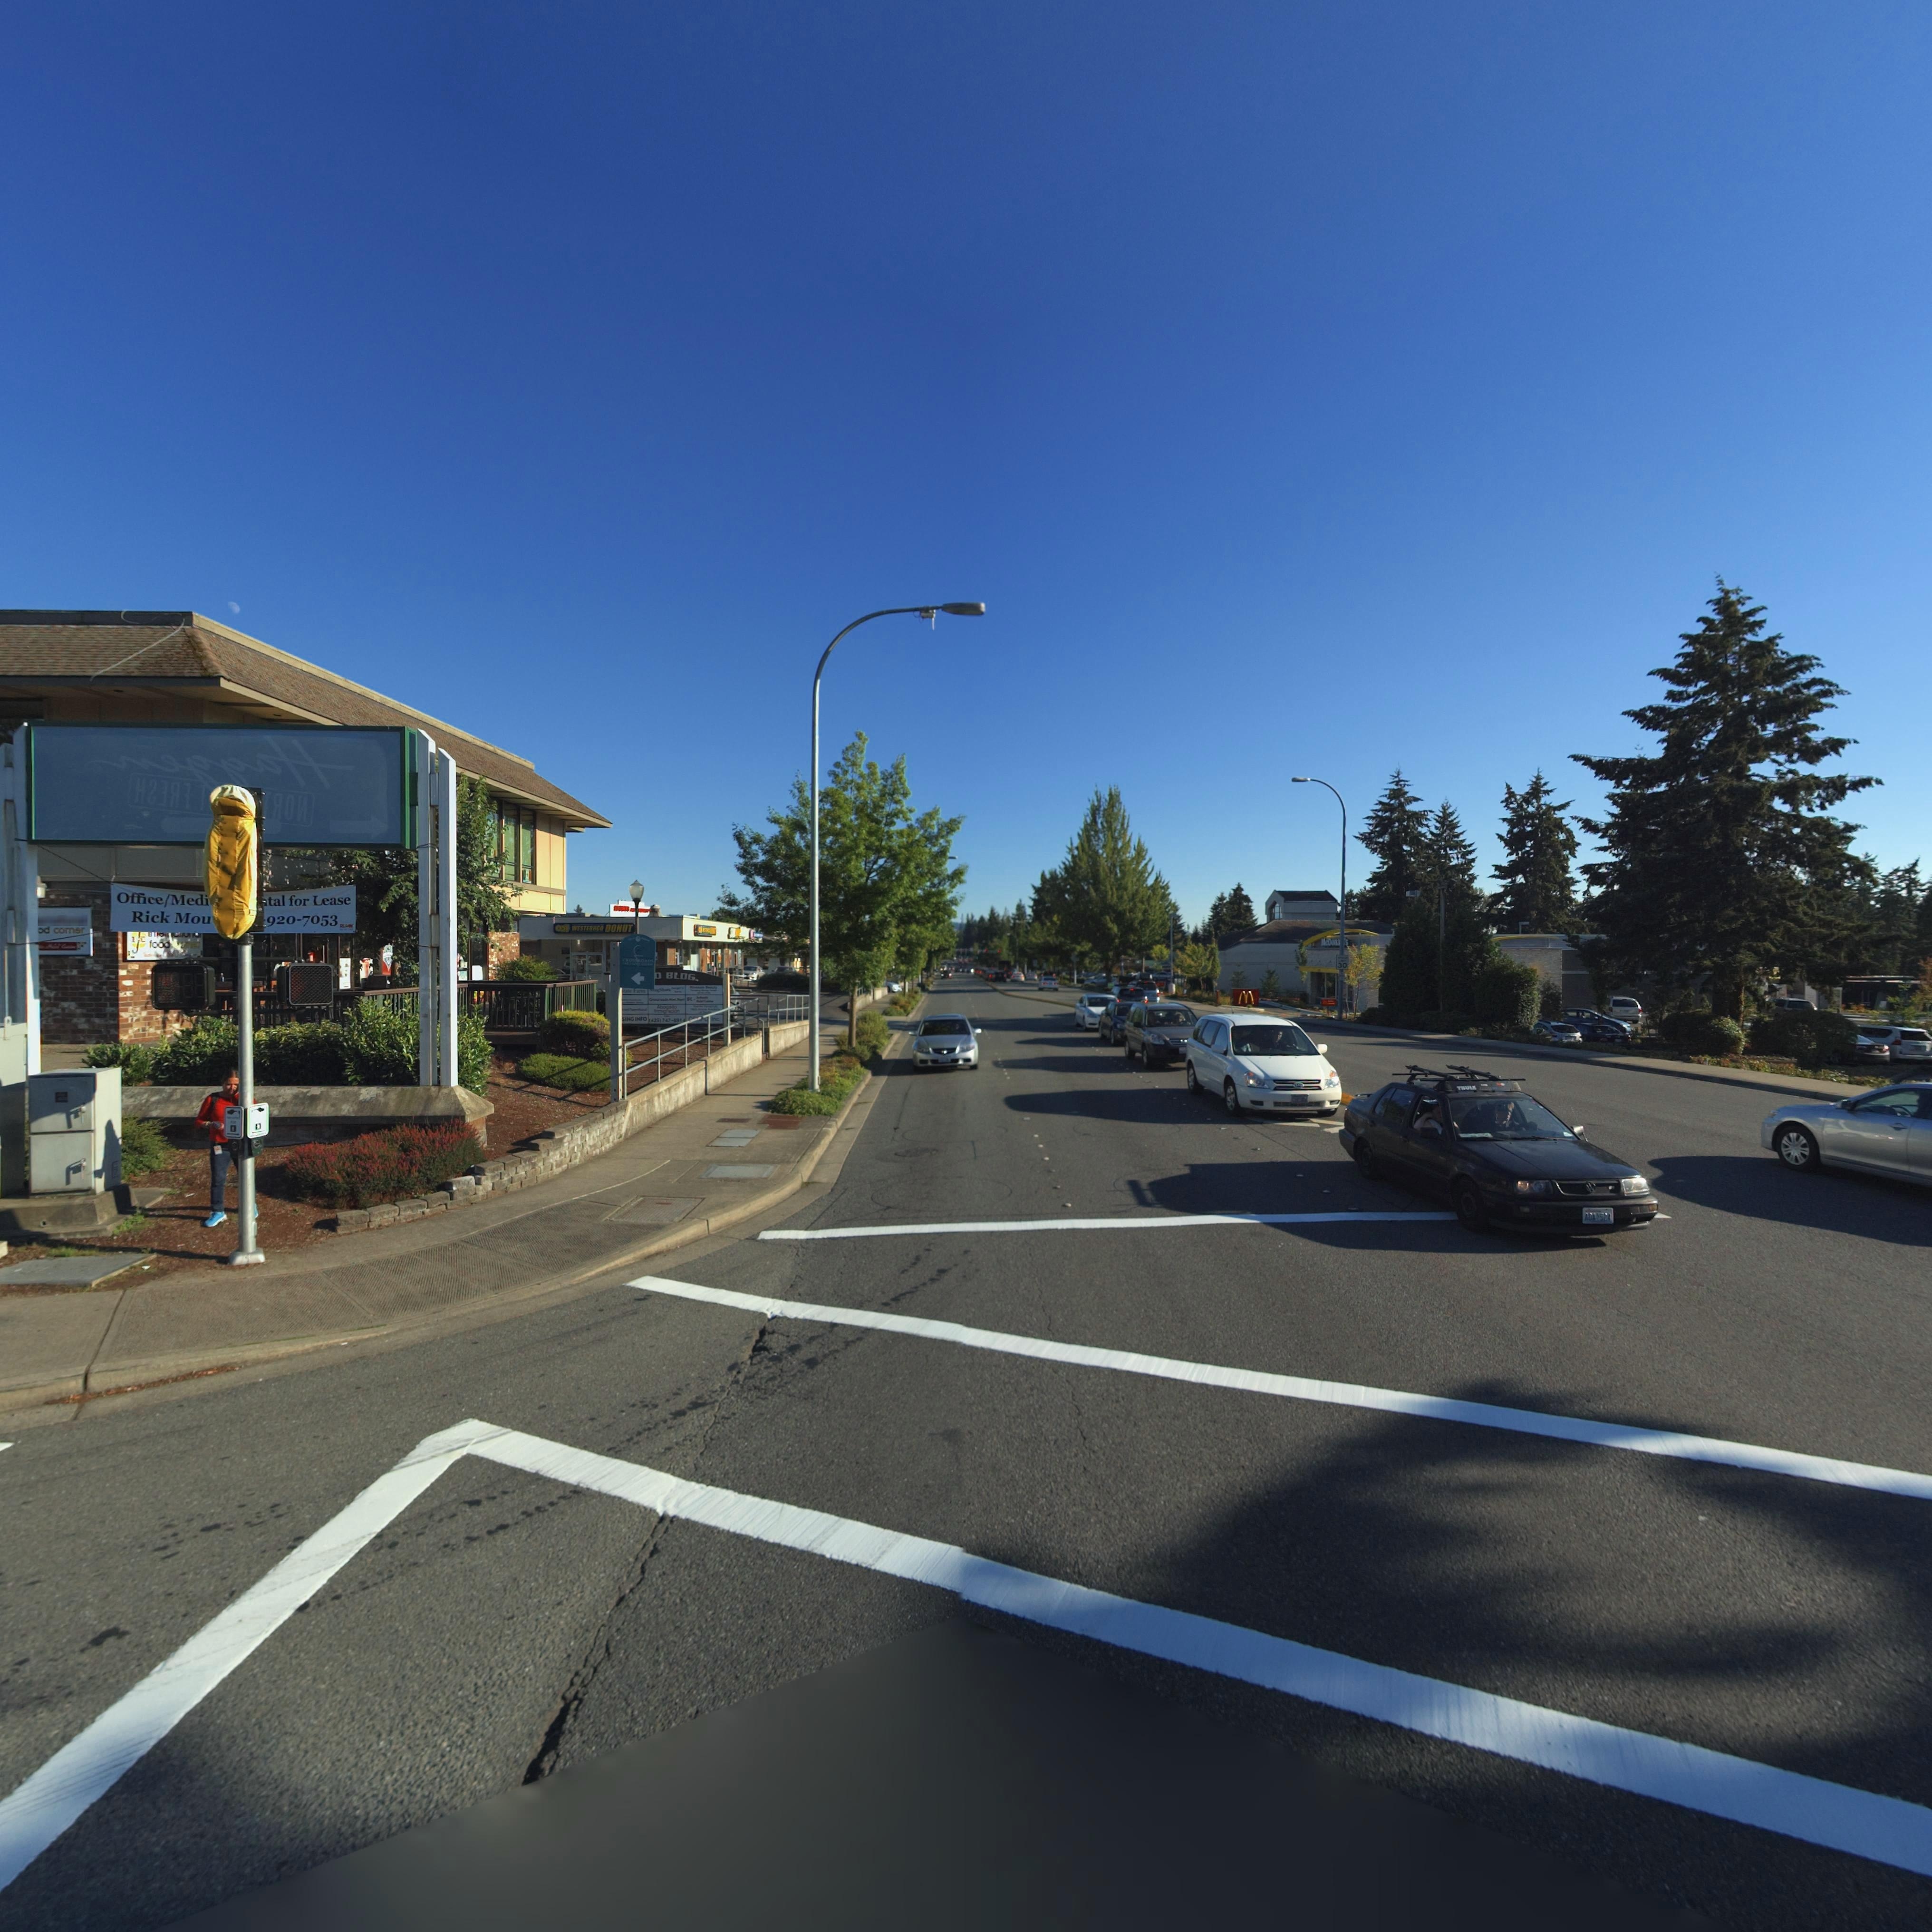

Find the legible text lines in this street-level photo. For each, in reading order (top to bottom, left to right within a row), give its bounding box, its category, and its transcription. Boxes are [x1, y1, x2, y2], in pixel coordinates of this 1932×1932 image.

[604, 924, 634, 933] BusinessName: DONUT